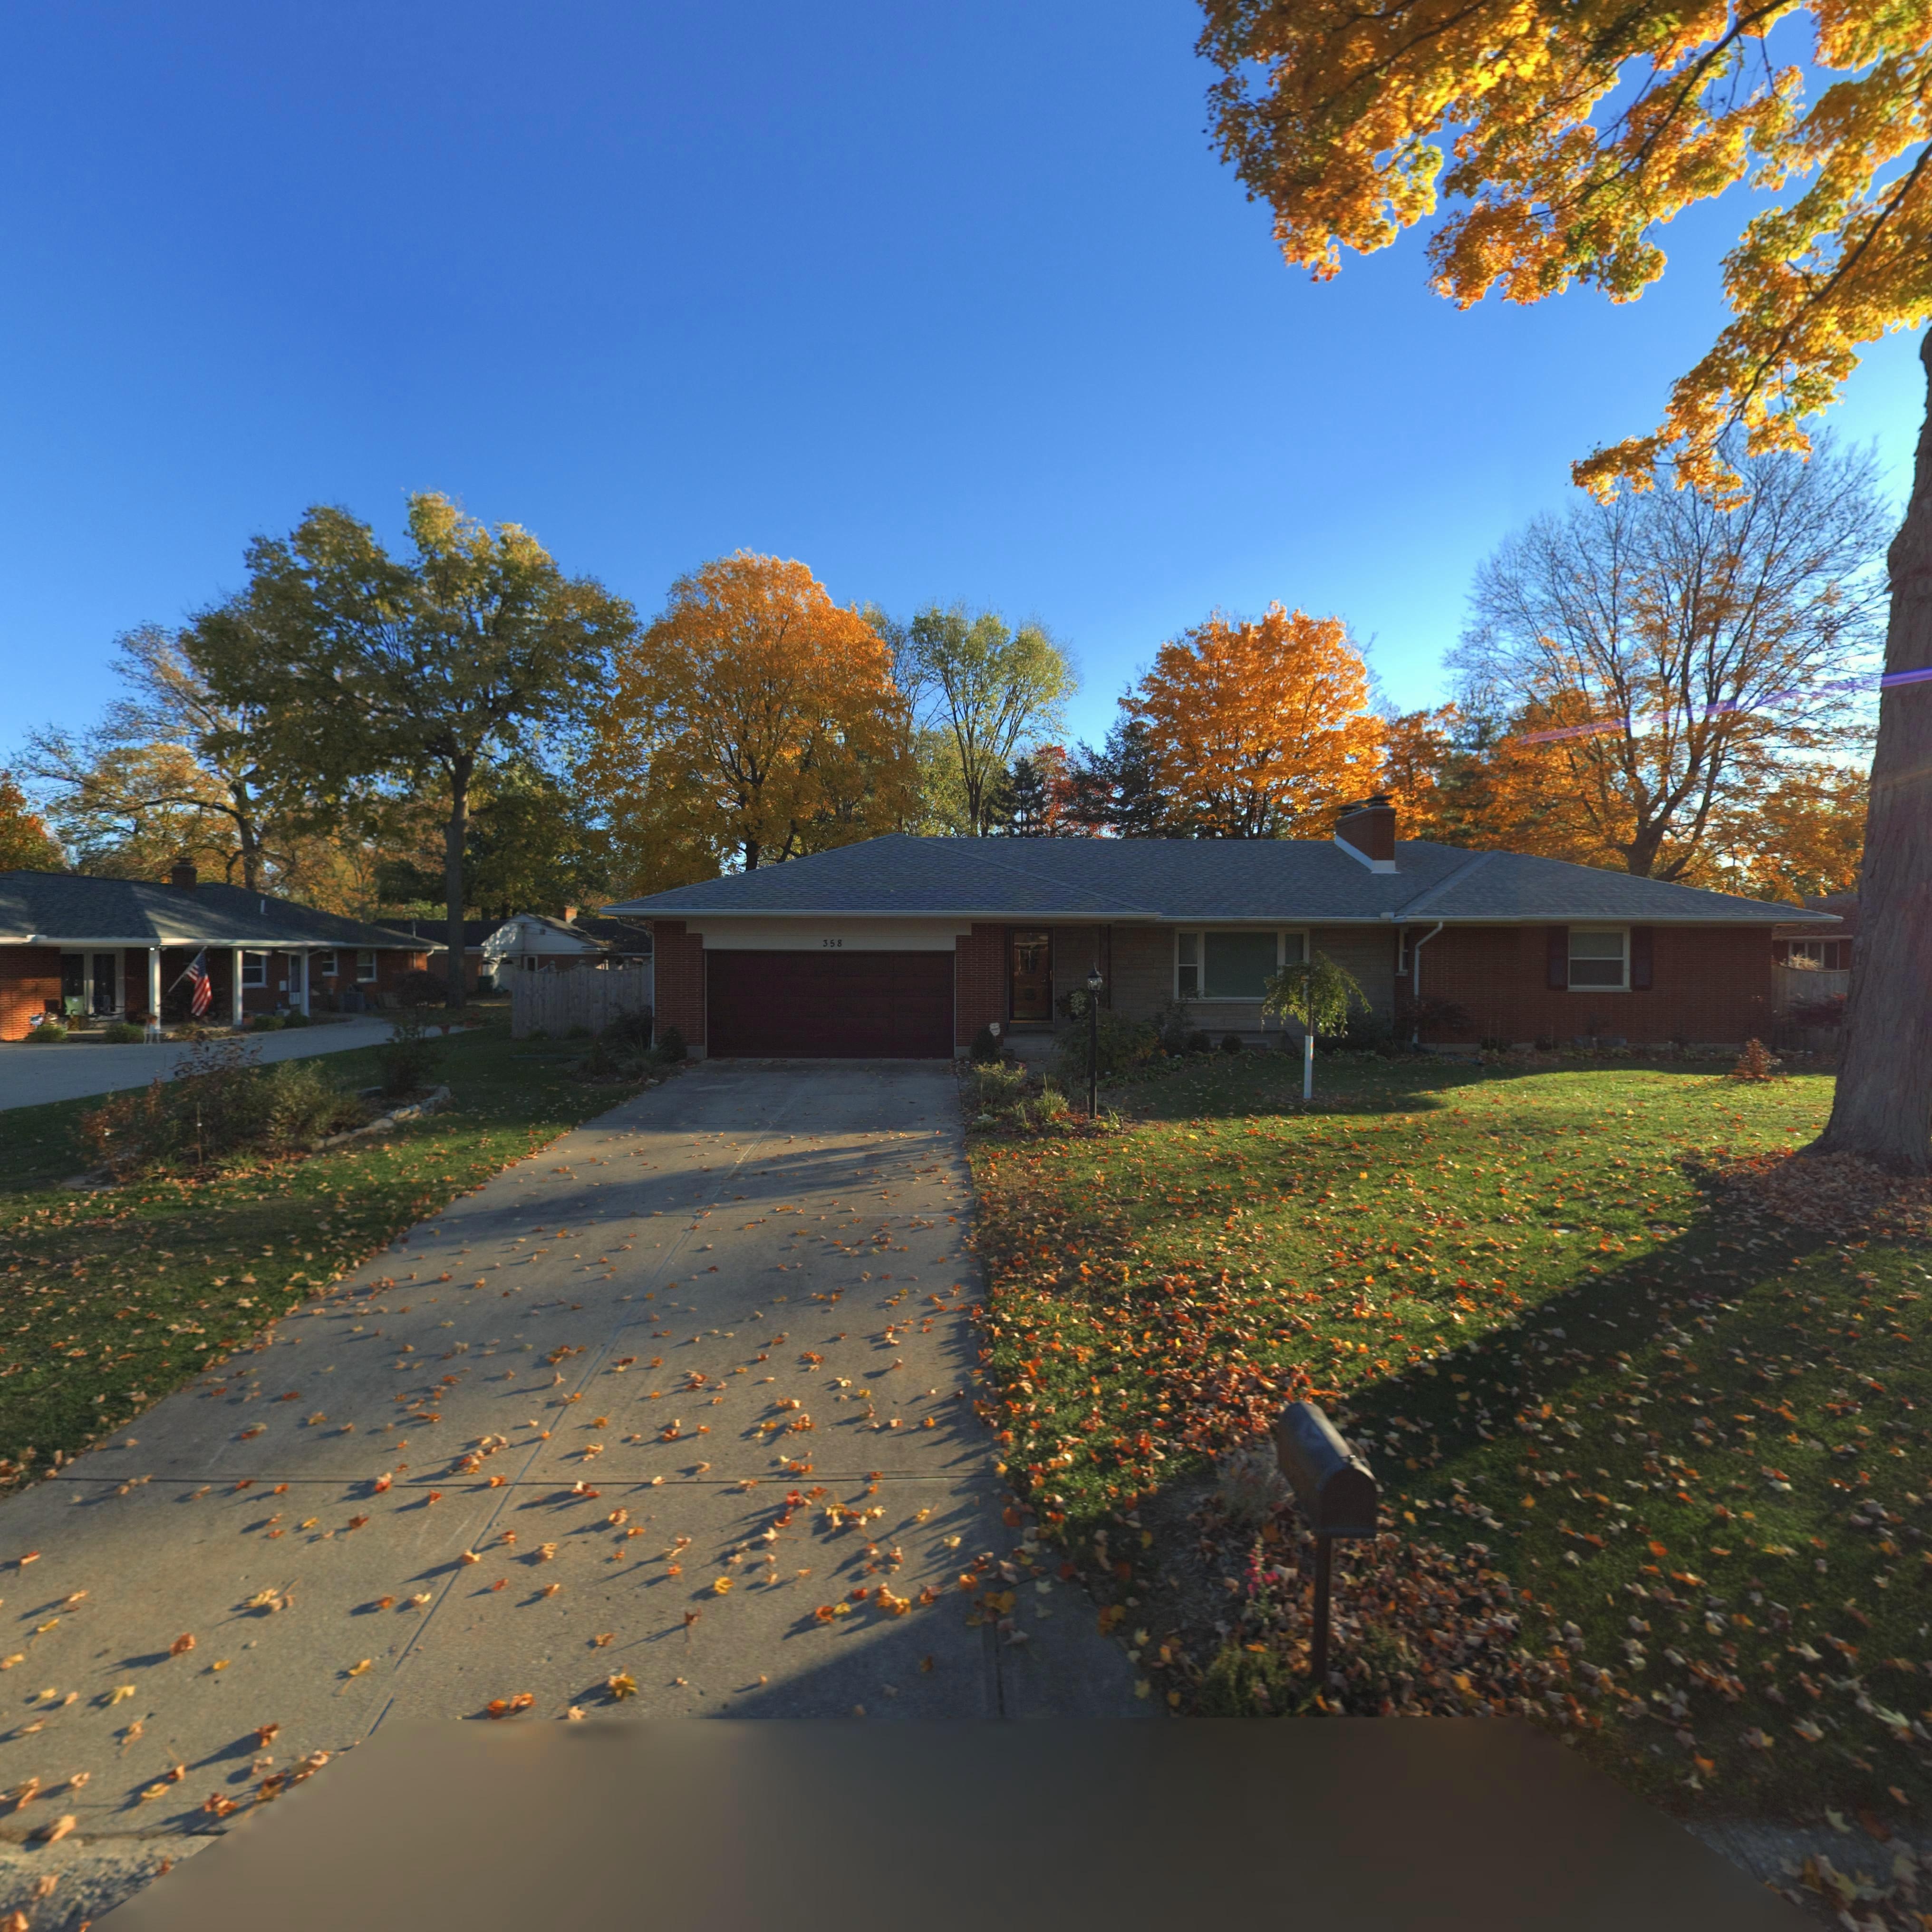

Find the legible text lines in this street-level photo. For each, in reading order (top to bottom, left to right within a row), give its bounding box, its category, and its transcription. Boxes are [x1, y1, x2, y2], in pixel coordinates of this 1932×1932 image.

[822, 938, 843, 948] StreetNumber: 358